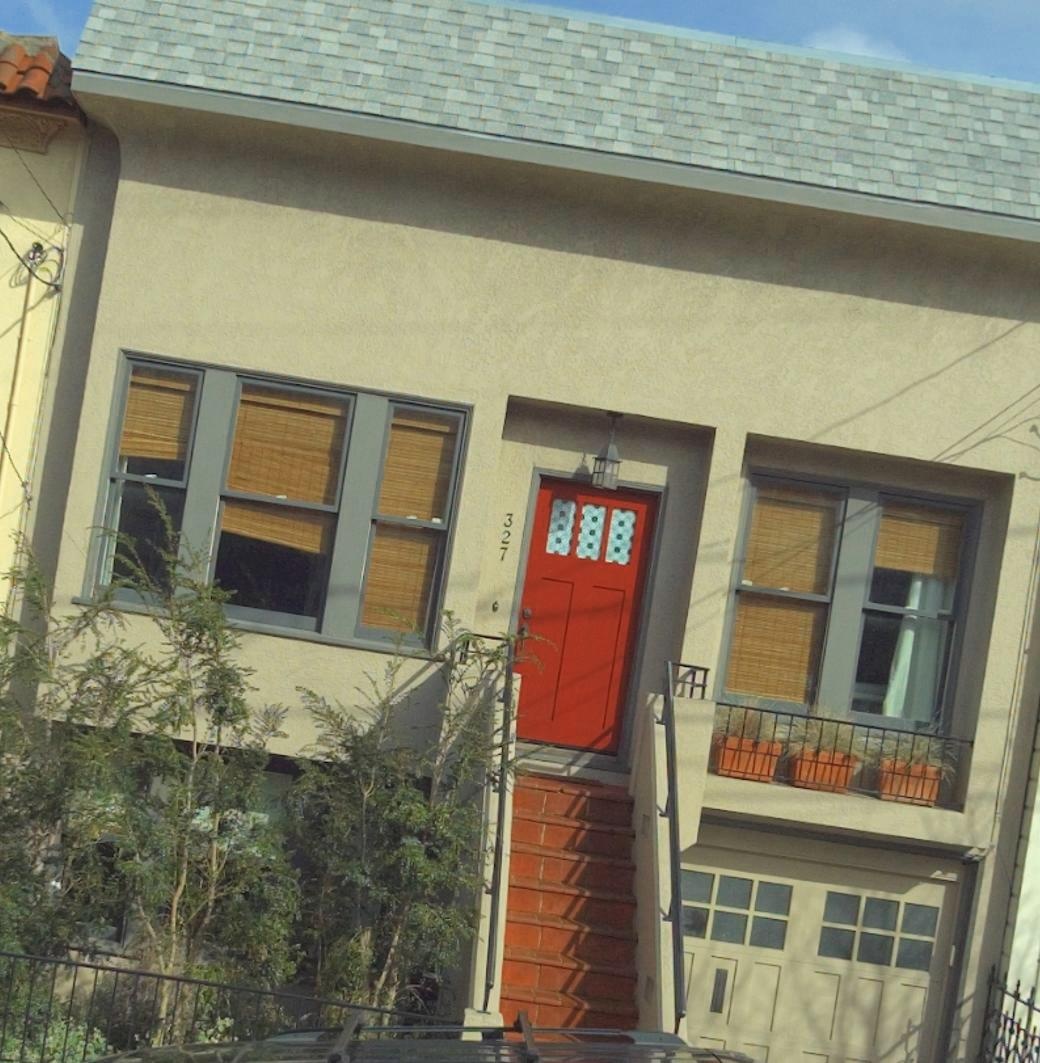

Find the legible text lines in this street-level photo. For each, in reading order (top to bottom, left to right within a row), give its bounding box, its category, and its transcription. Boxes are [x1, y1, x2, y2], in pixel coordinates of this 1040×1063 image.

[497, 512, 515, 563] StreetNumber: 327